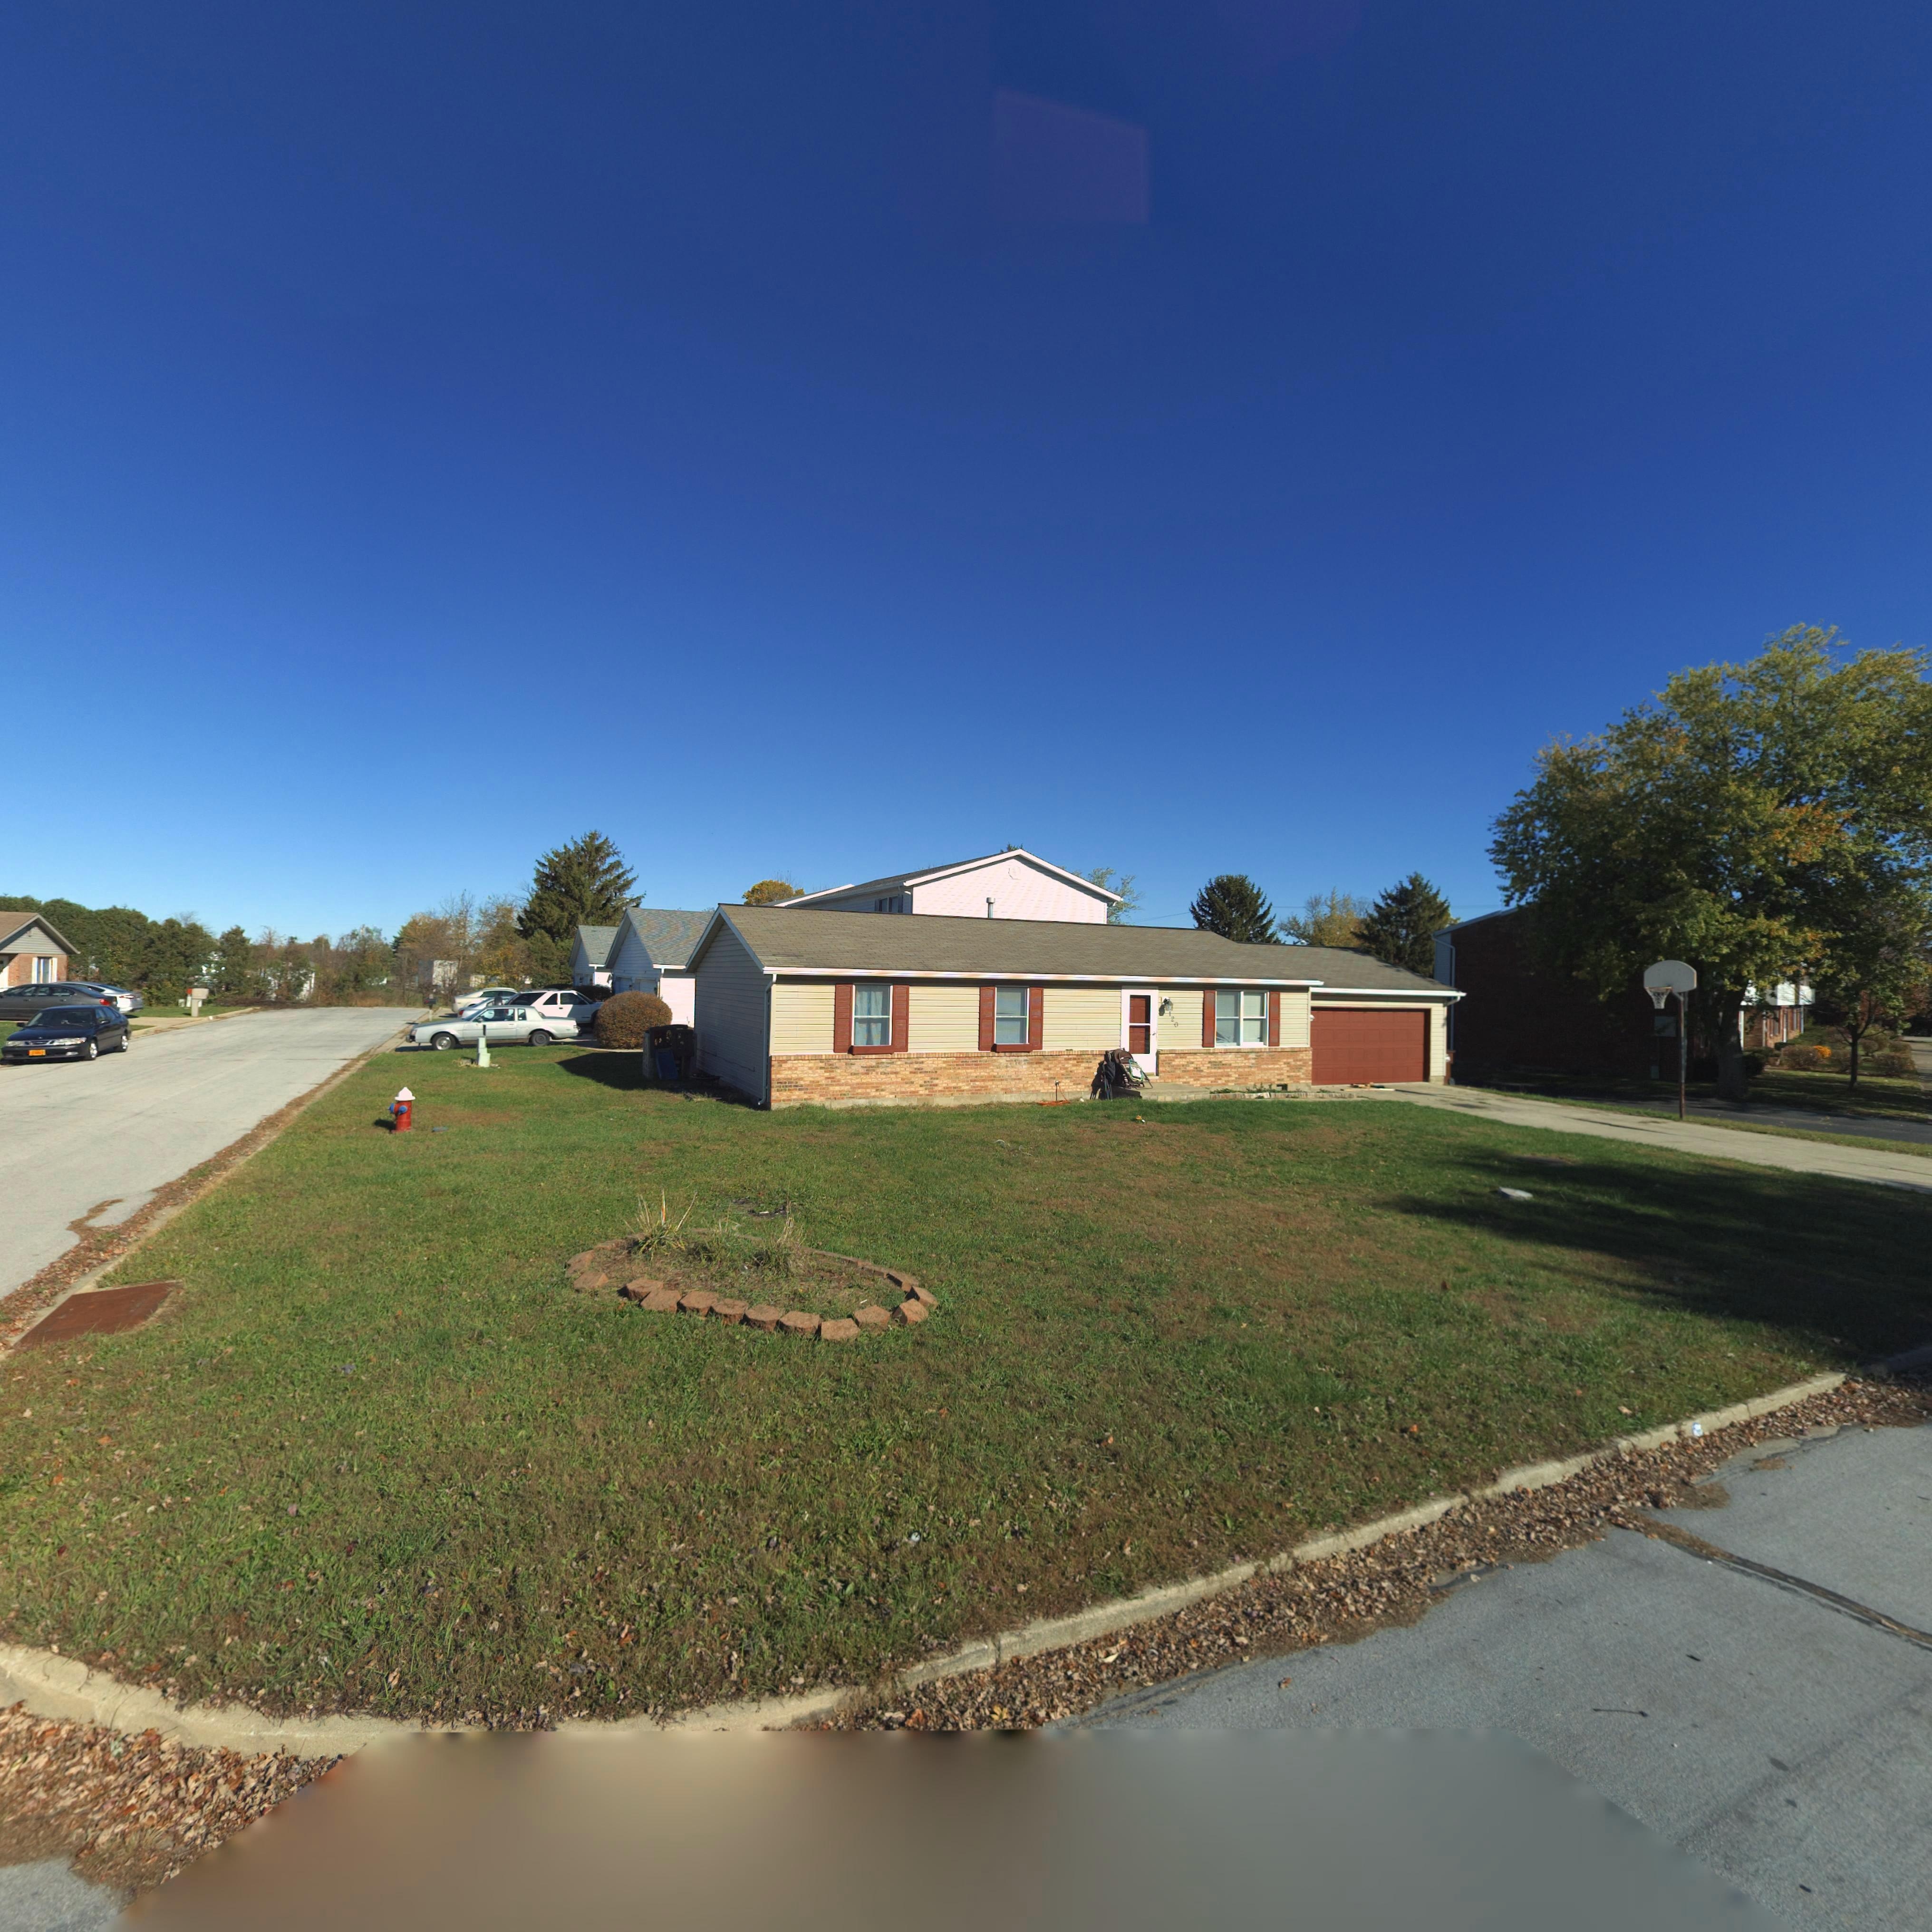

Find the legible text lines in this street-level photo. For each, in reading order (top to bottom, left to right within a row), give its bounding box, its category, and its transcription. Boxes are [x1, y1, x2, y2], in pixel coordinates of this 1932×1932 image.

[1168, 1009, 1179, 1028] StreetNumber: 120